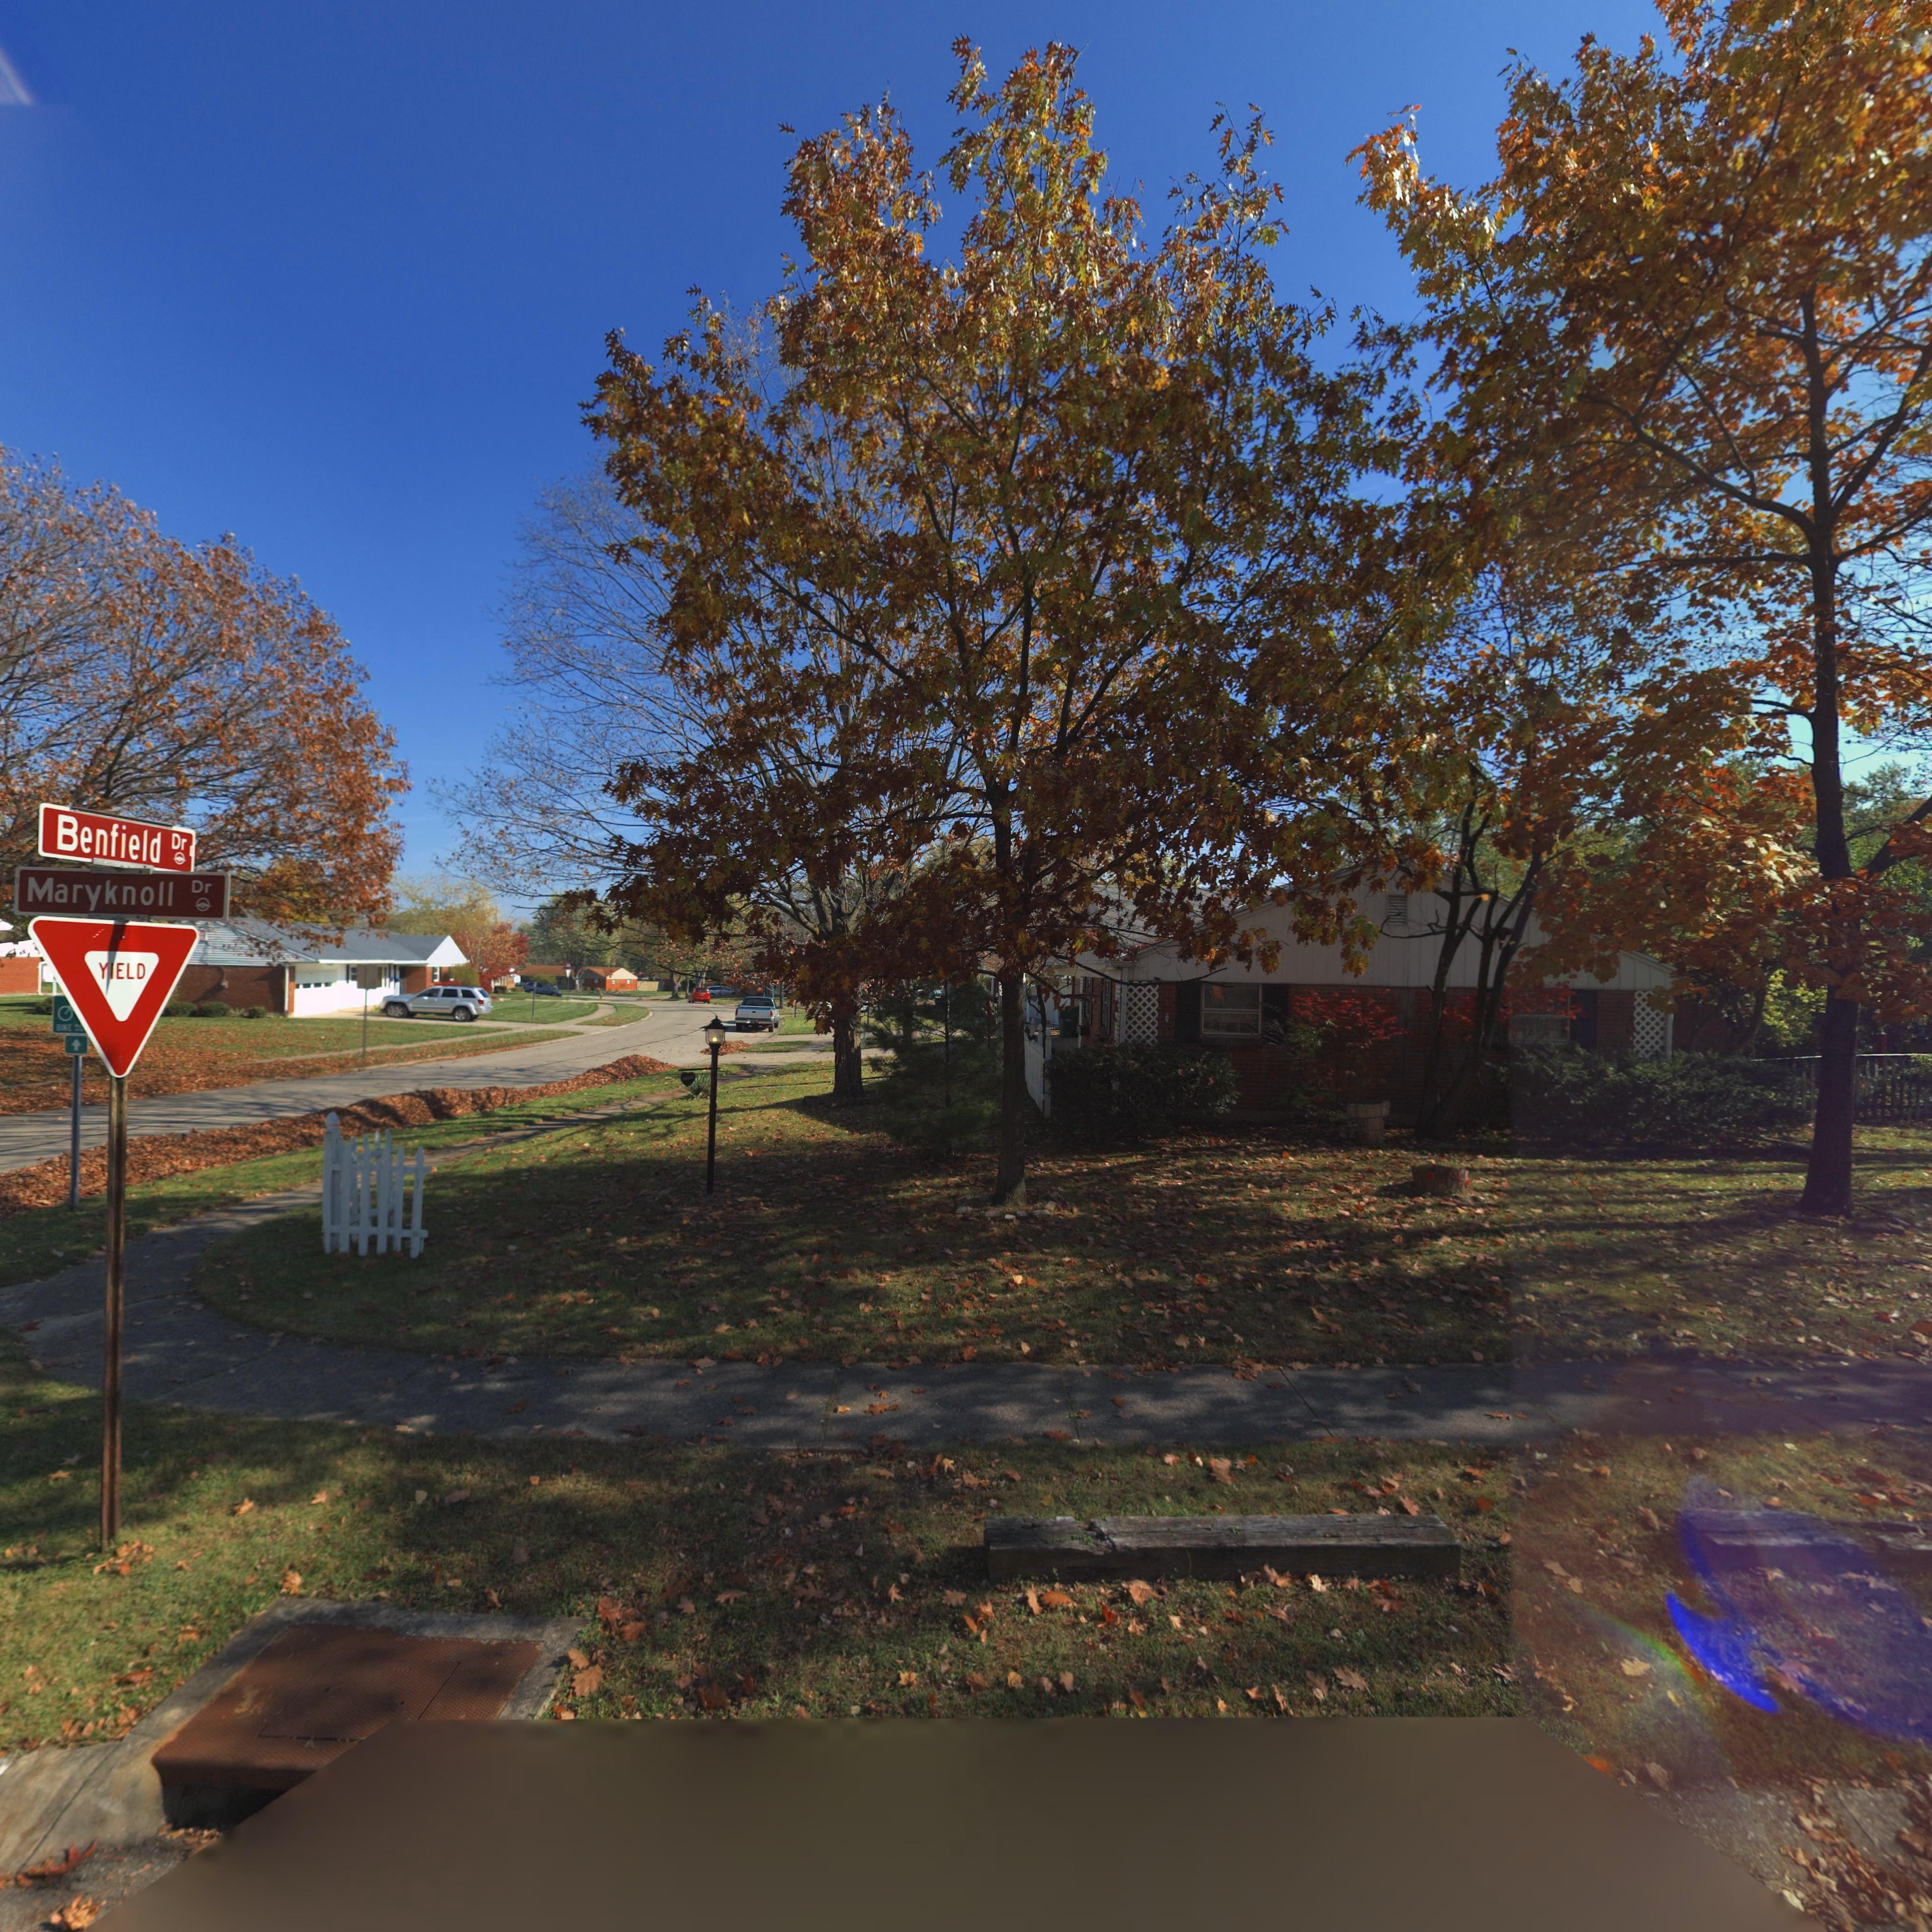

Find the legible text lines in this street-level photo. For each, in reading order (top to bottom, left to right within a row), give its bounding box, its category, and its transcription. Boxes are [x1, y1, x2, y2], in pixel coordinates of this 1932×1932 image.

[55, 812, 188, 865] StreetName: Benfield Dr
[26, 875, 213, 912] StreetName: Maryknoll Dr
[98, 960, 146, 979] None: YIELD
[56, 1023, 84, 1032] None: BIKE